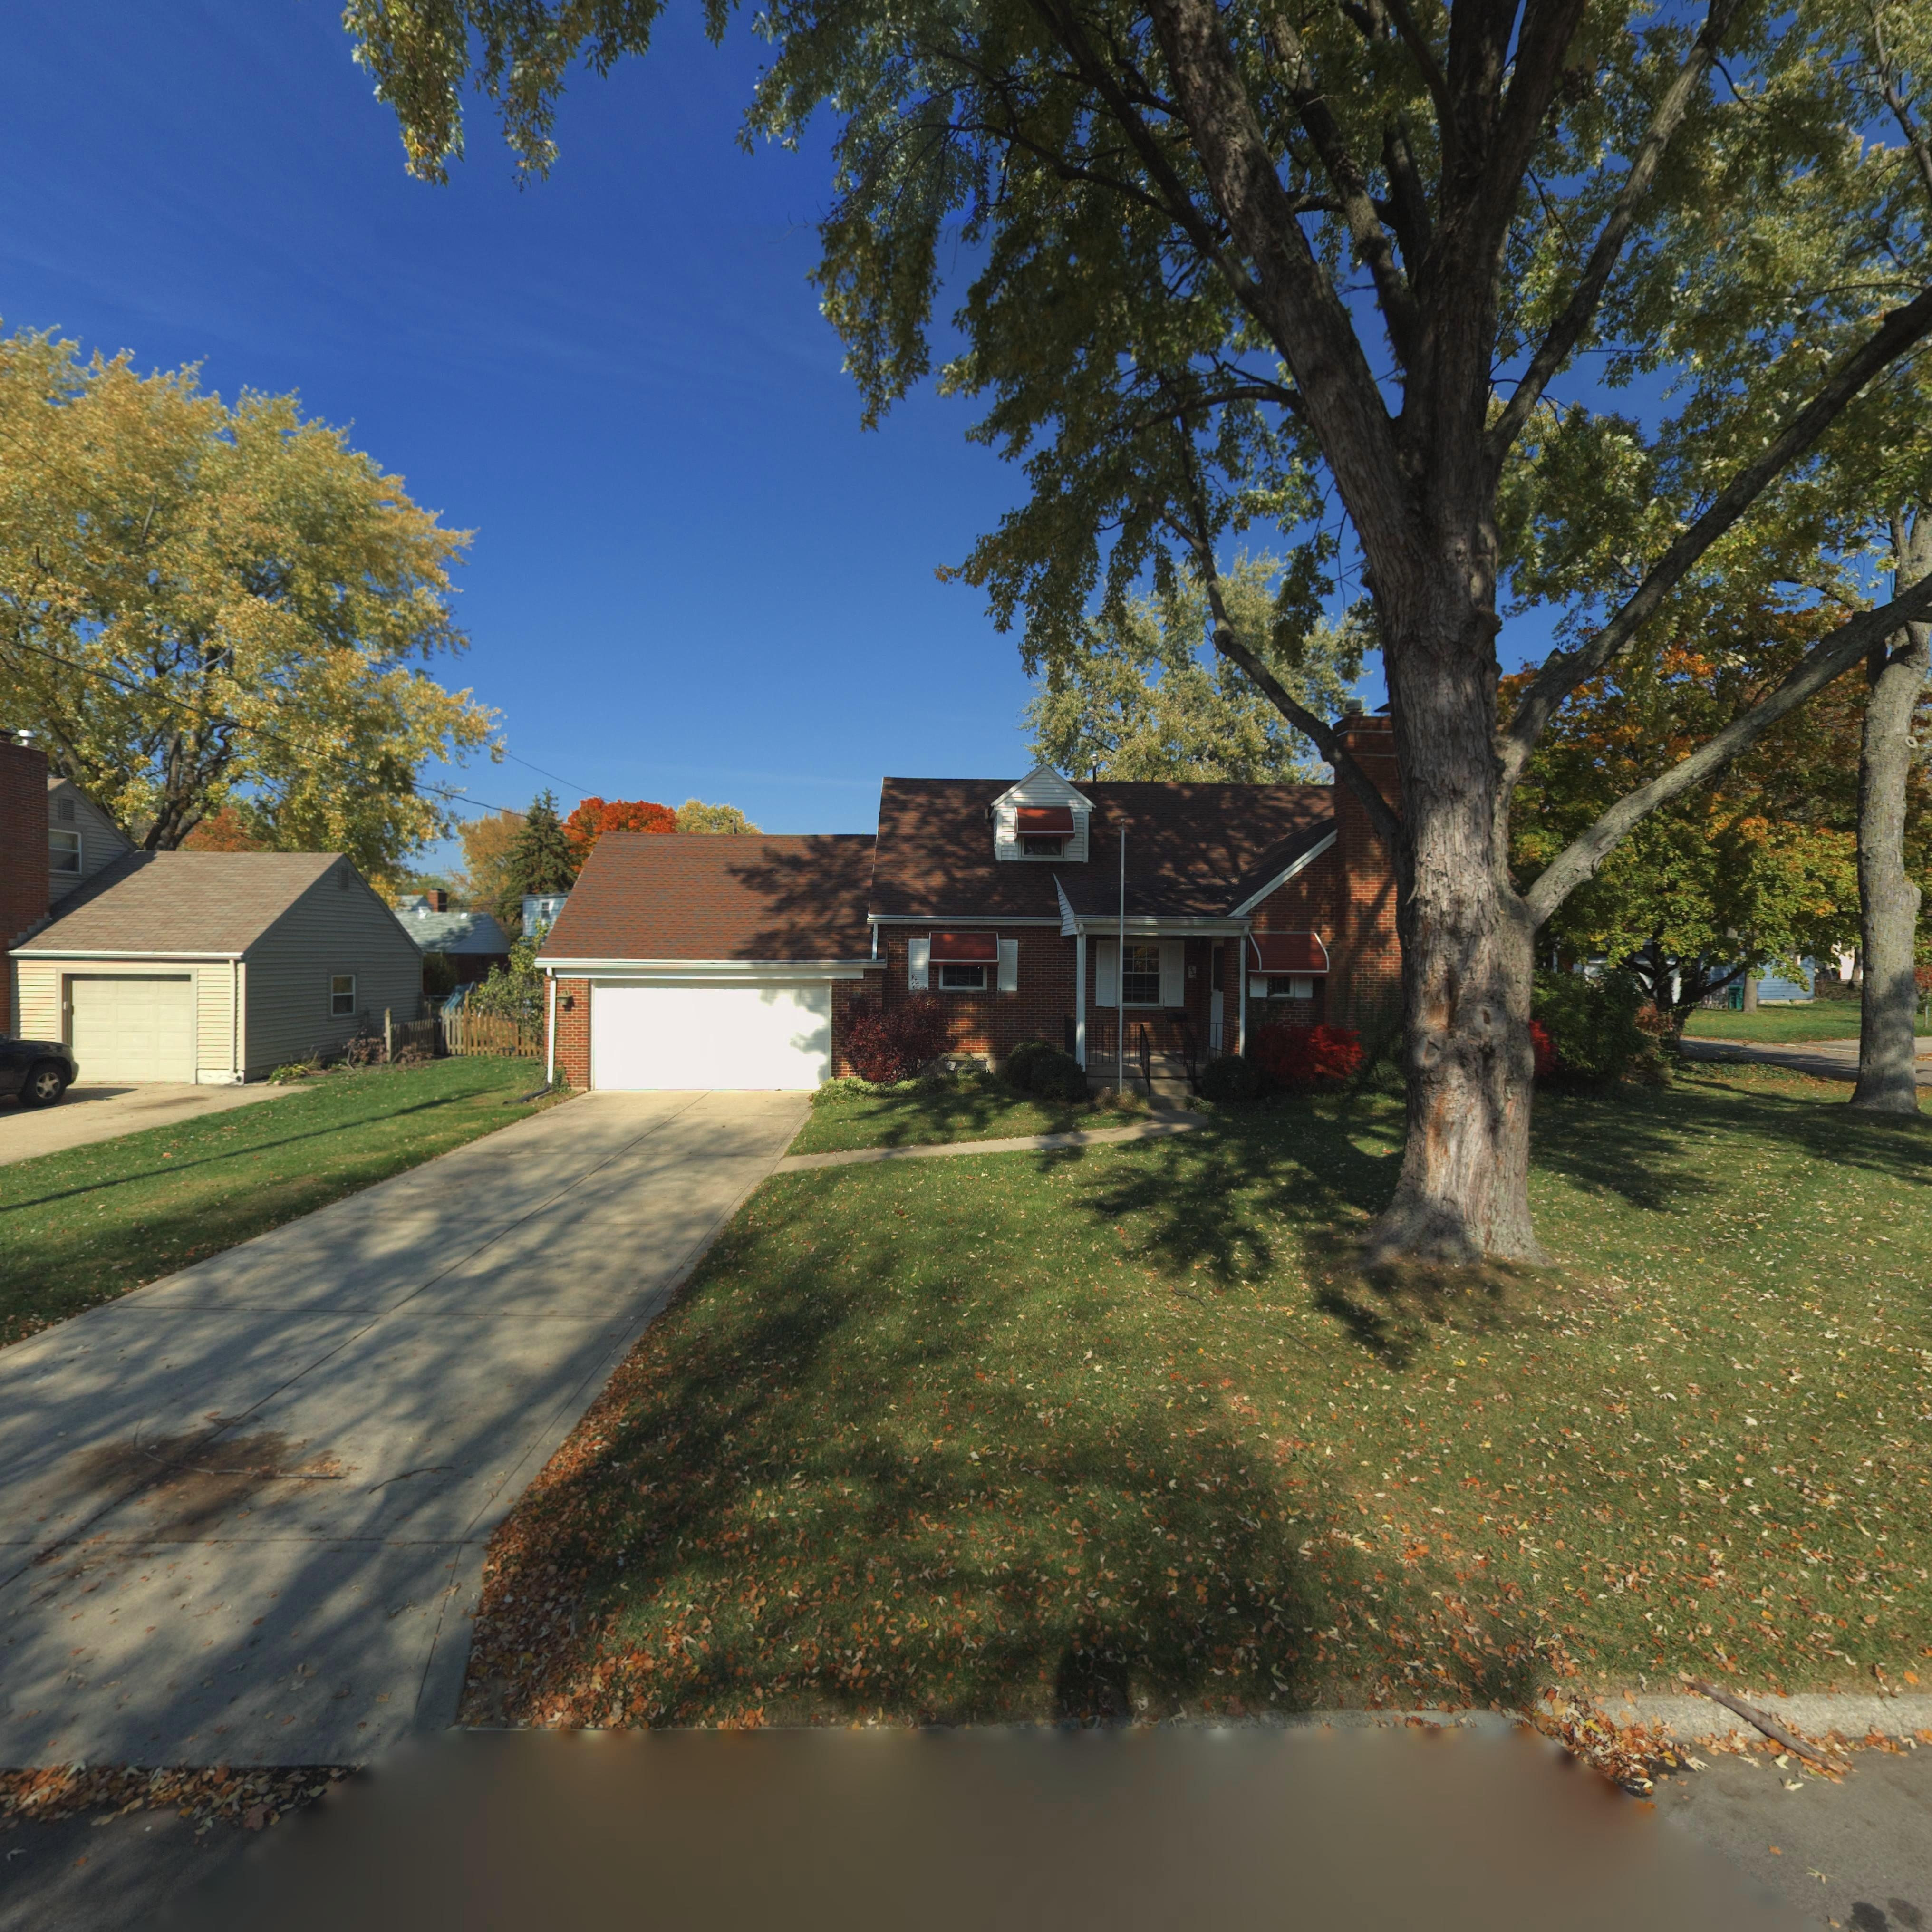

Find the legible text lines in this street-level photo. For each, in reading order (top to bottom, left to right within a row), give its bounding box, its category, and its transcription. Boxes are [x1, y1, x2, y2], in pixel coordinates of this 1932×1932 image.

[1189, 967, 1196, 978] StreetNumber: 533